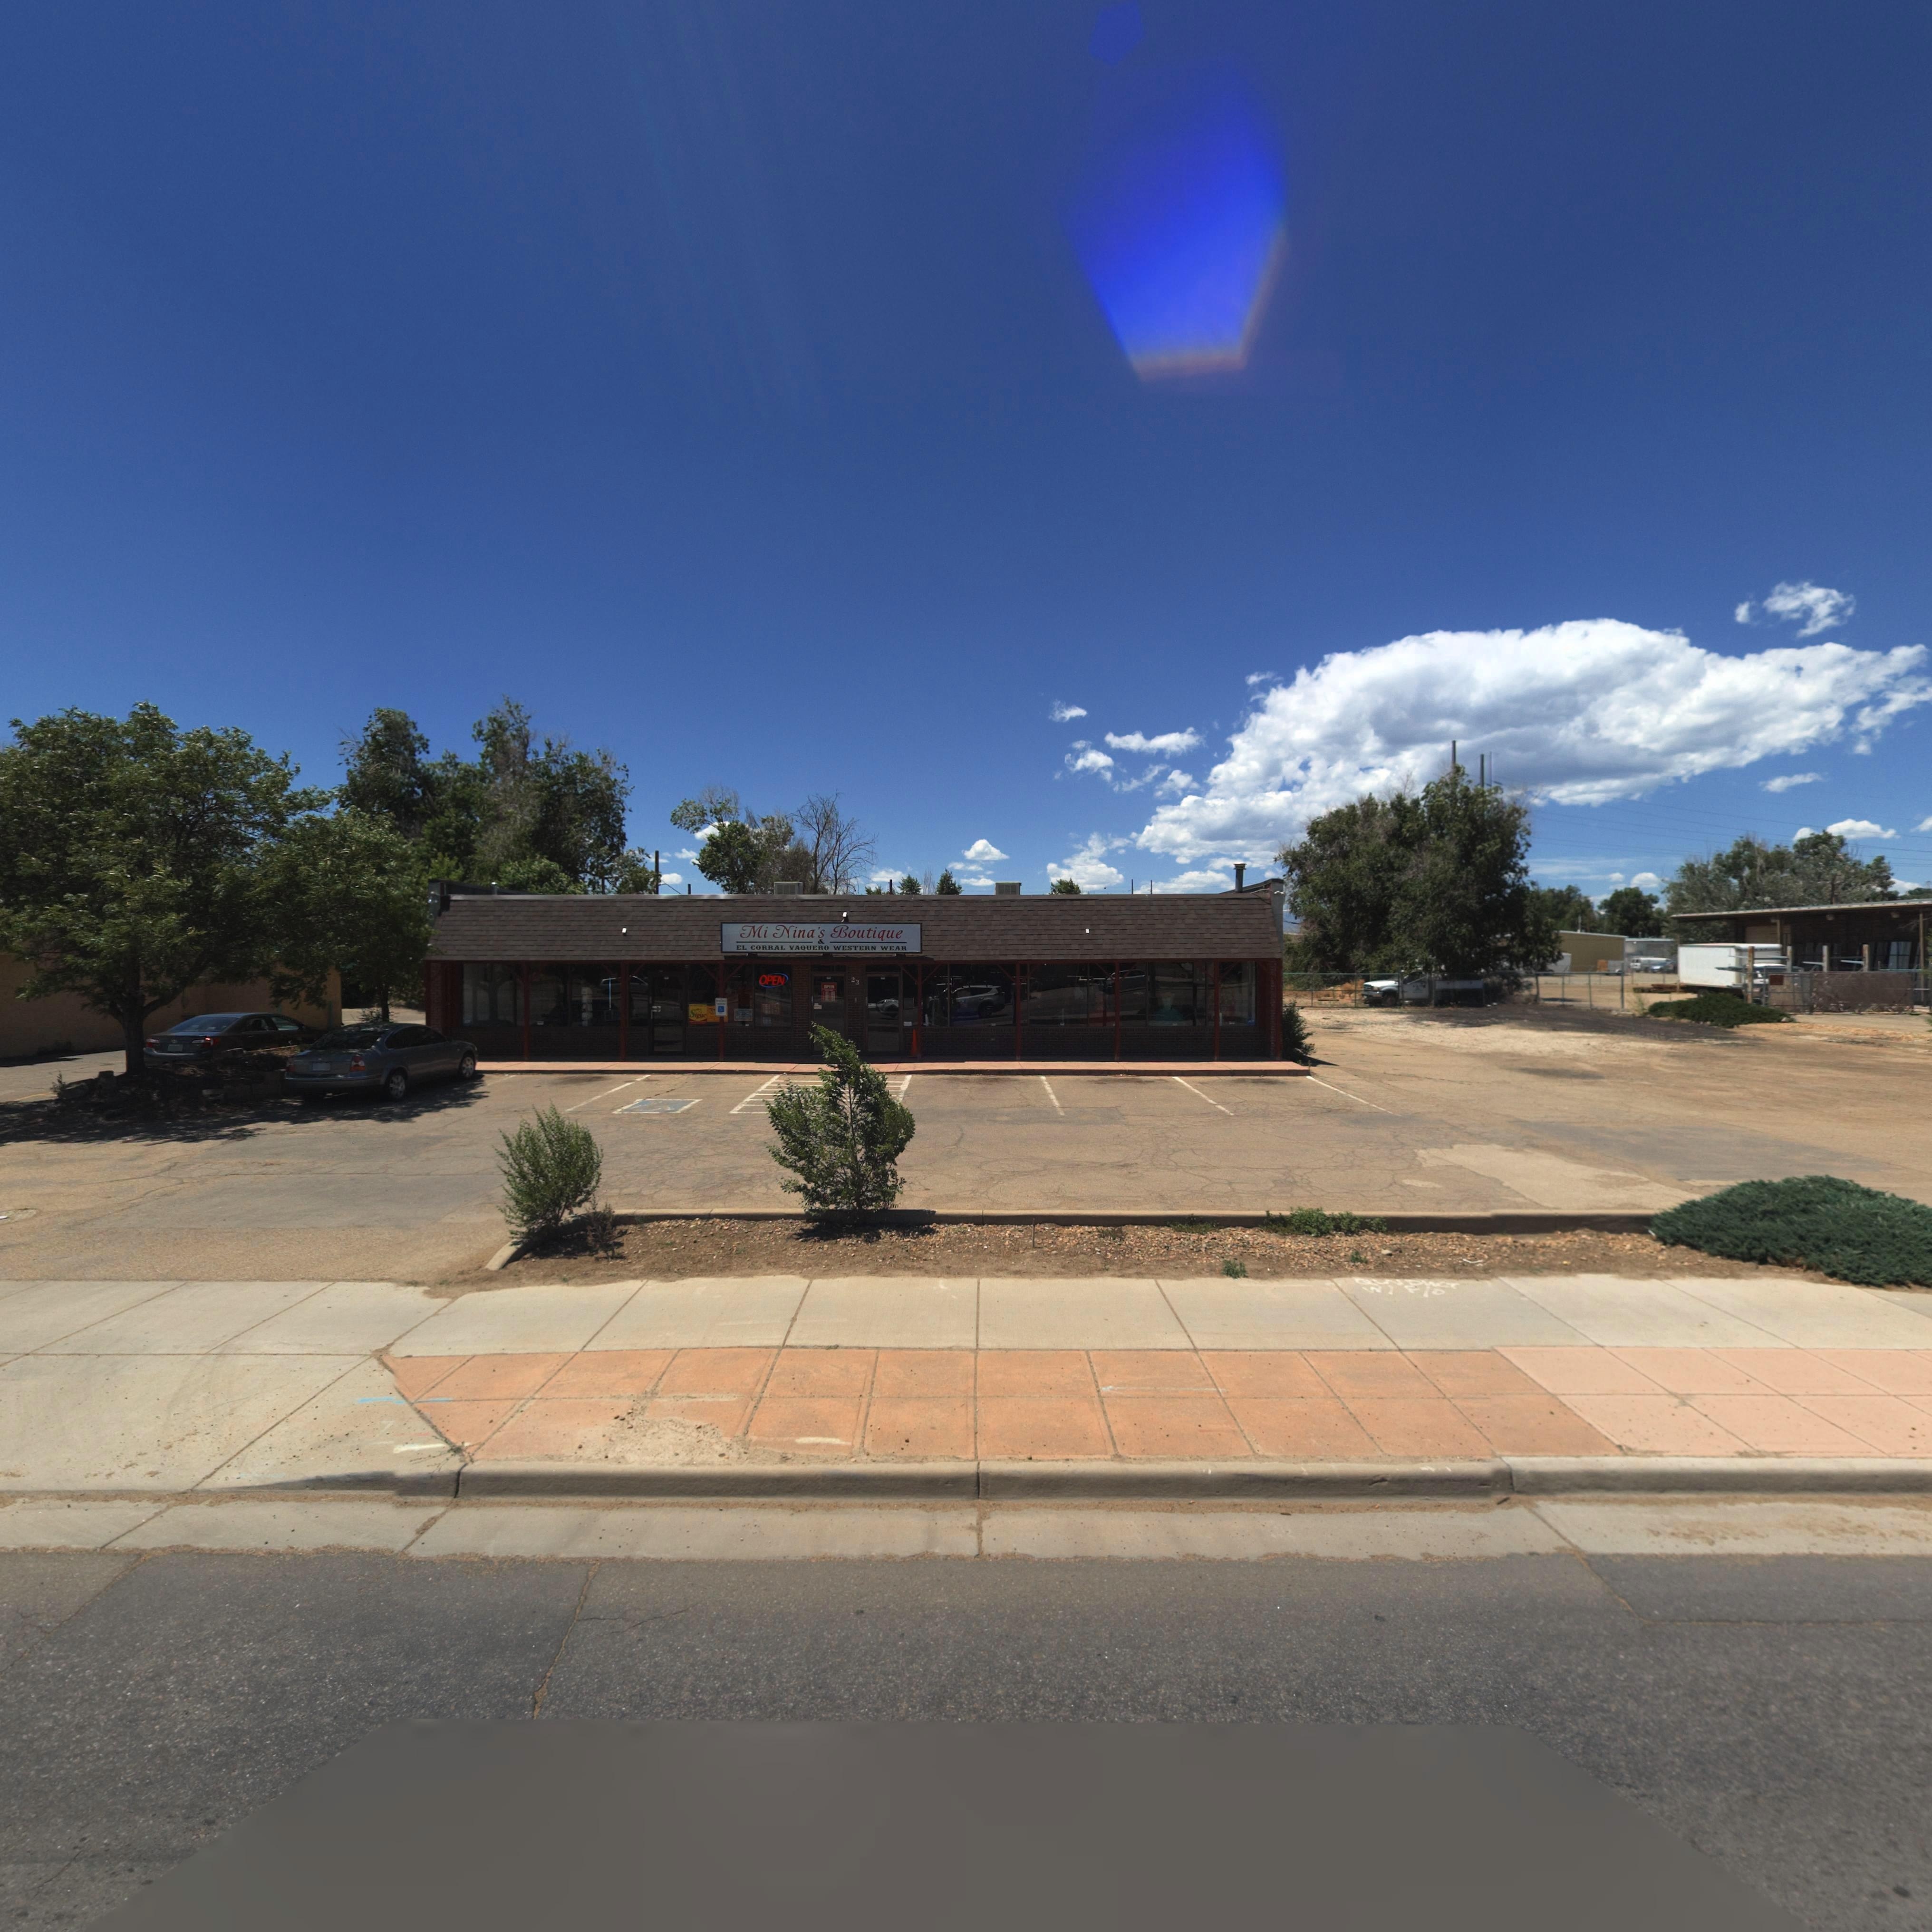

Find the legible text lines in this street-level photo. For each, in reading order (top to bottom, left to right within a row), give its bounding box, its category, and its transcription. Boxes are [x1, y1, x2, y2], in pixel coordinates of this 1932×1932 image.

[739, 924, 903, 941] BusinessName: Mi Nina's Boutique
[851, 976, 860, 985] StreetNumber: 23